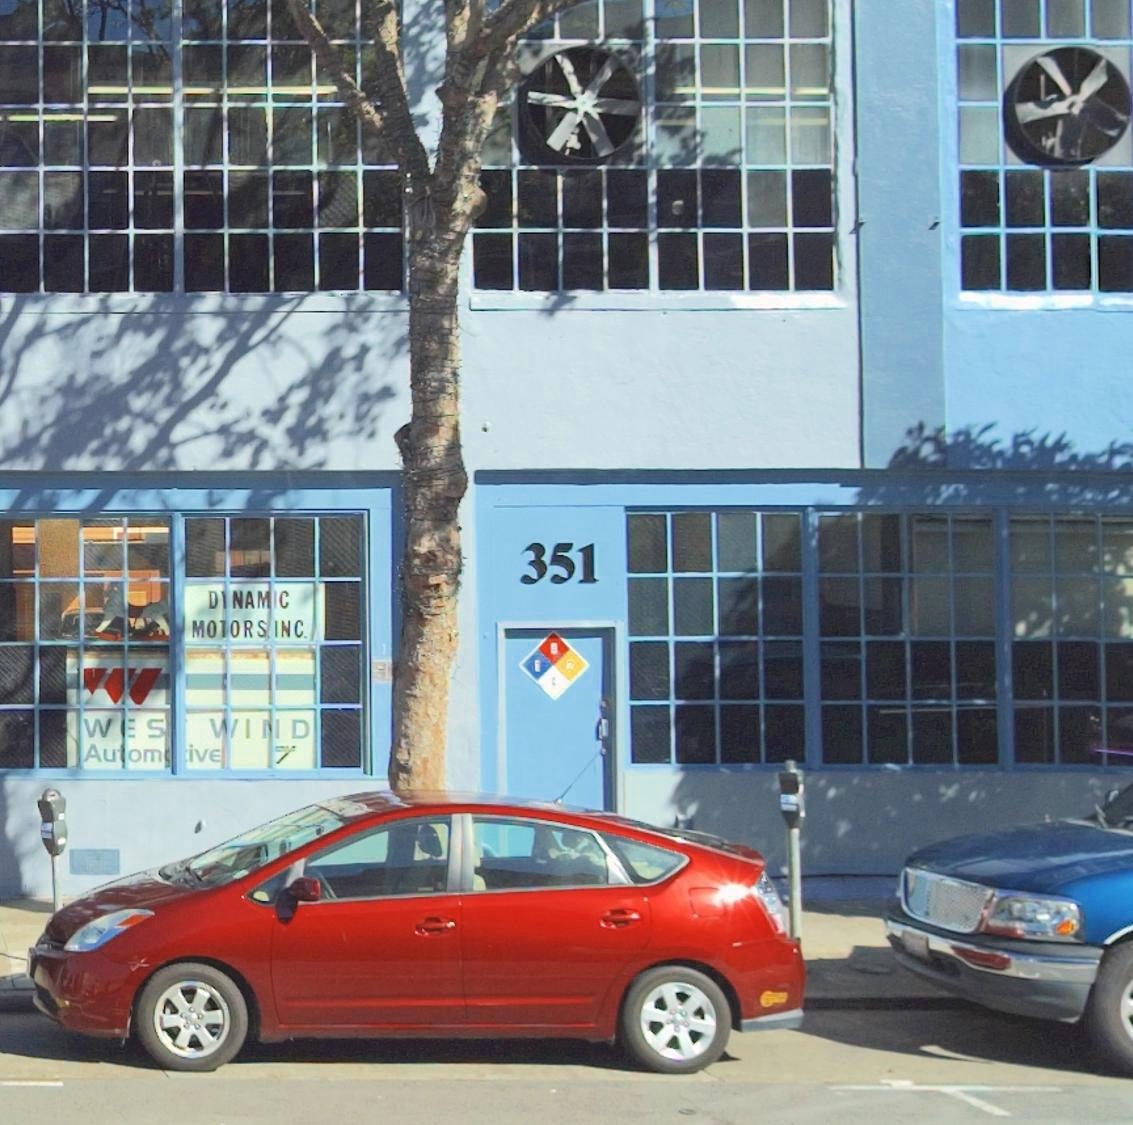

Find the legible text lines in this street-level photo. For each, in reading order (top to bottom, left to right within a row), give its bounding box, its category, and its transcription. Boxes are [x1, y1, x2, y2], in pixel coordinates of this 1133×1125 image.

[518, 541, 601, 585] StreetNumber: 351
[205, 586, 289, 610] None: D*NAMIC
[189, 618, 304, 640] None: MO*ORS INC
[81, 716, 112, 738] None: W
[144, 716, 165, 738] None: S
[242, 717, 253, 741] None: I
[290, 716, 310, 741] None: D
[80, 742, 222, 764] None: Au*om**ive